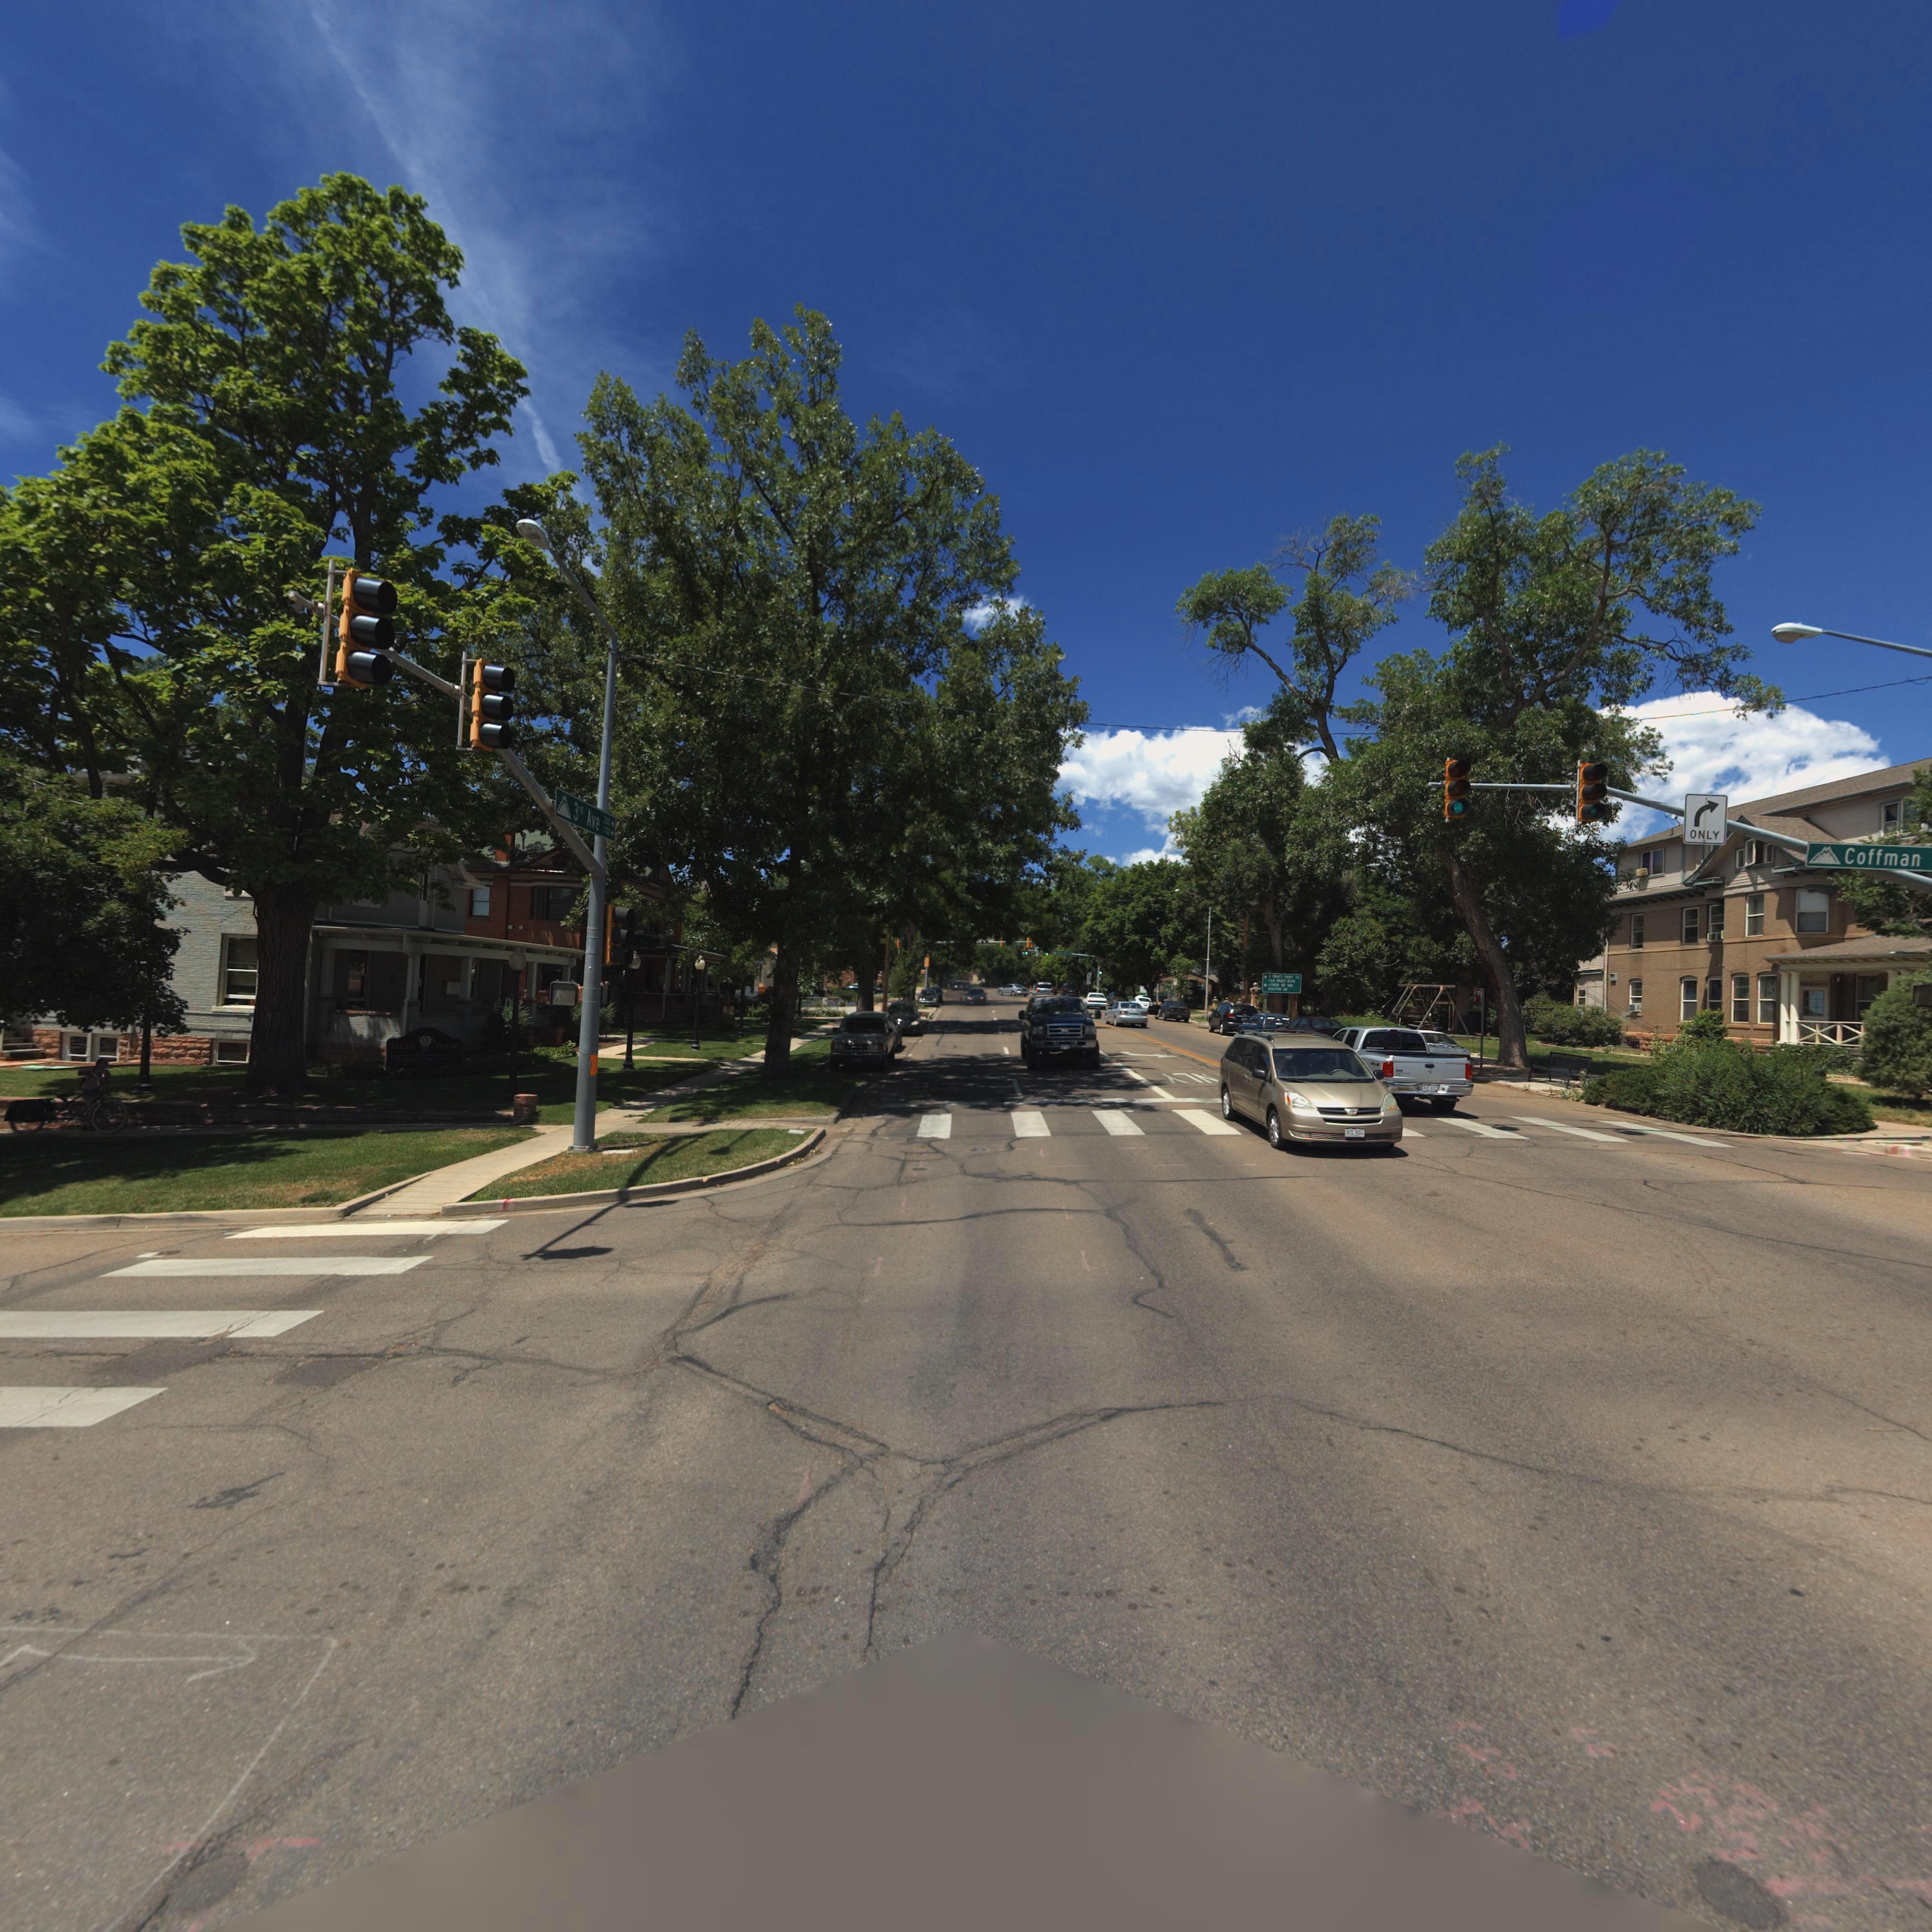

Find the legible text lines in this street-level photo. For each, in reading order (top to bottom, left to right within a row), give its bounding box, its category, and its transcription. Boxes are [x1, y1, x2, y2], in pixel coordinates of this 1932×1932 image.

[572, 801, 600, 831] StreetName: 3rd Ave
[603, 816, 611, 825] StreetNumberRange: 200
[603, 826, 613, 836] StreetNumberRange: 700->
[1843, 848, 1921, 867] StreetName: Coffman
[1268, 974, 1294, 979] StreetName: S P*ATT P**Y
[1268, 978, 1295, 983] StreetName: *L* PRA*T *L*D
[1268, 983, 1285, 986] StreetName: *OV*R **
[1268, 987, 1287, 991] StreetName: BOS*** **
[416, 1035, 435, 1043] StreetNumber: 703